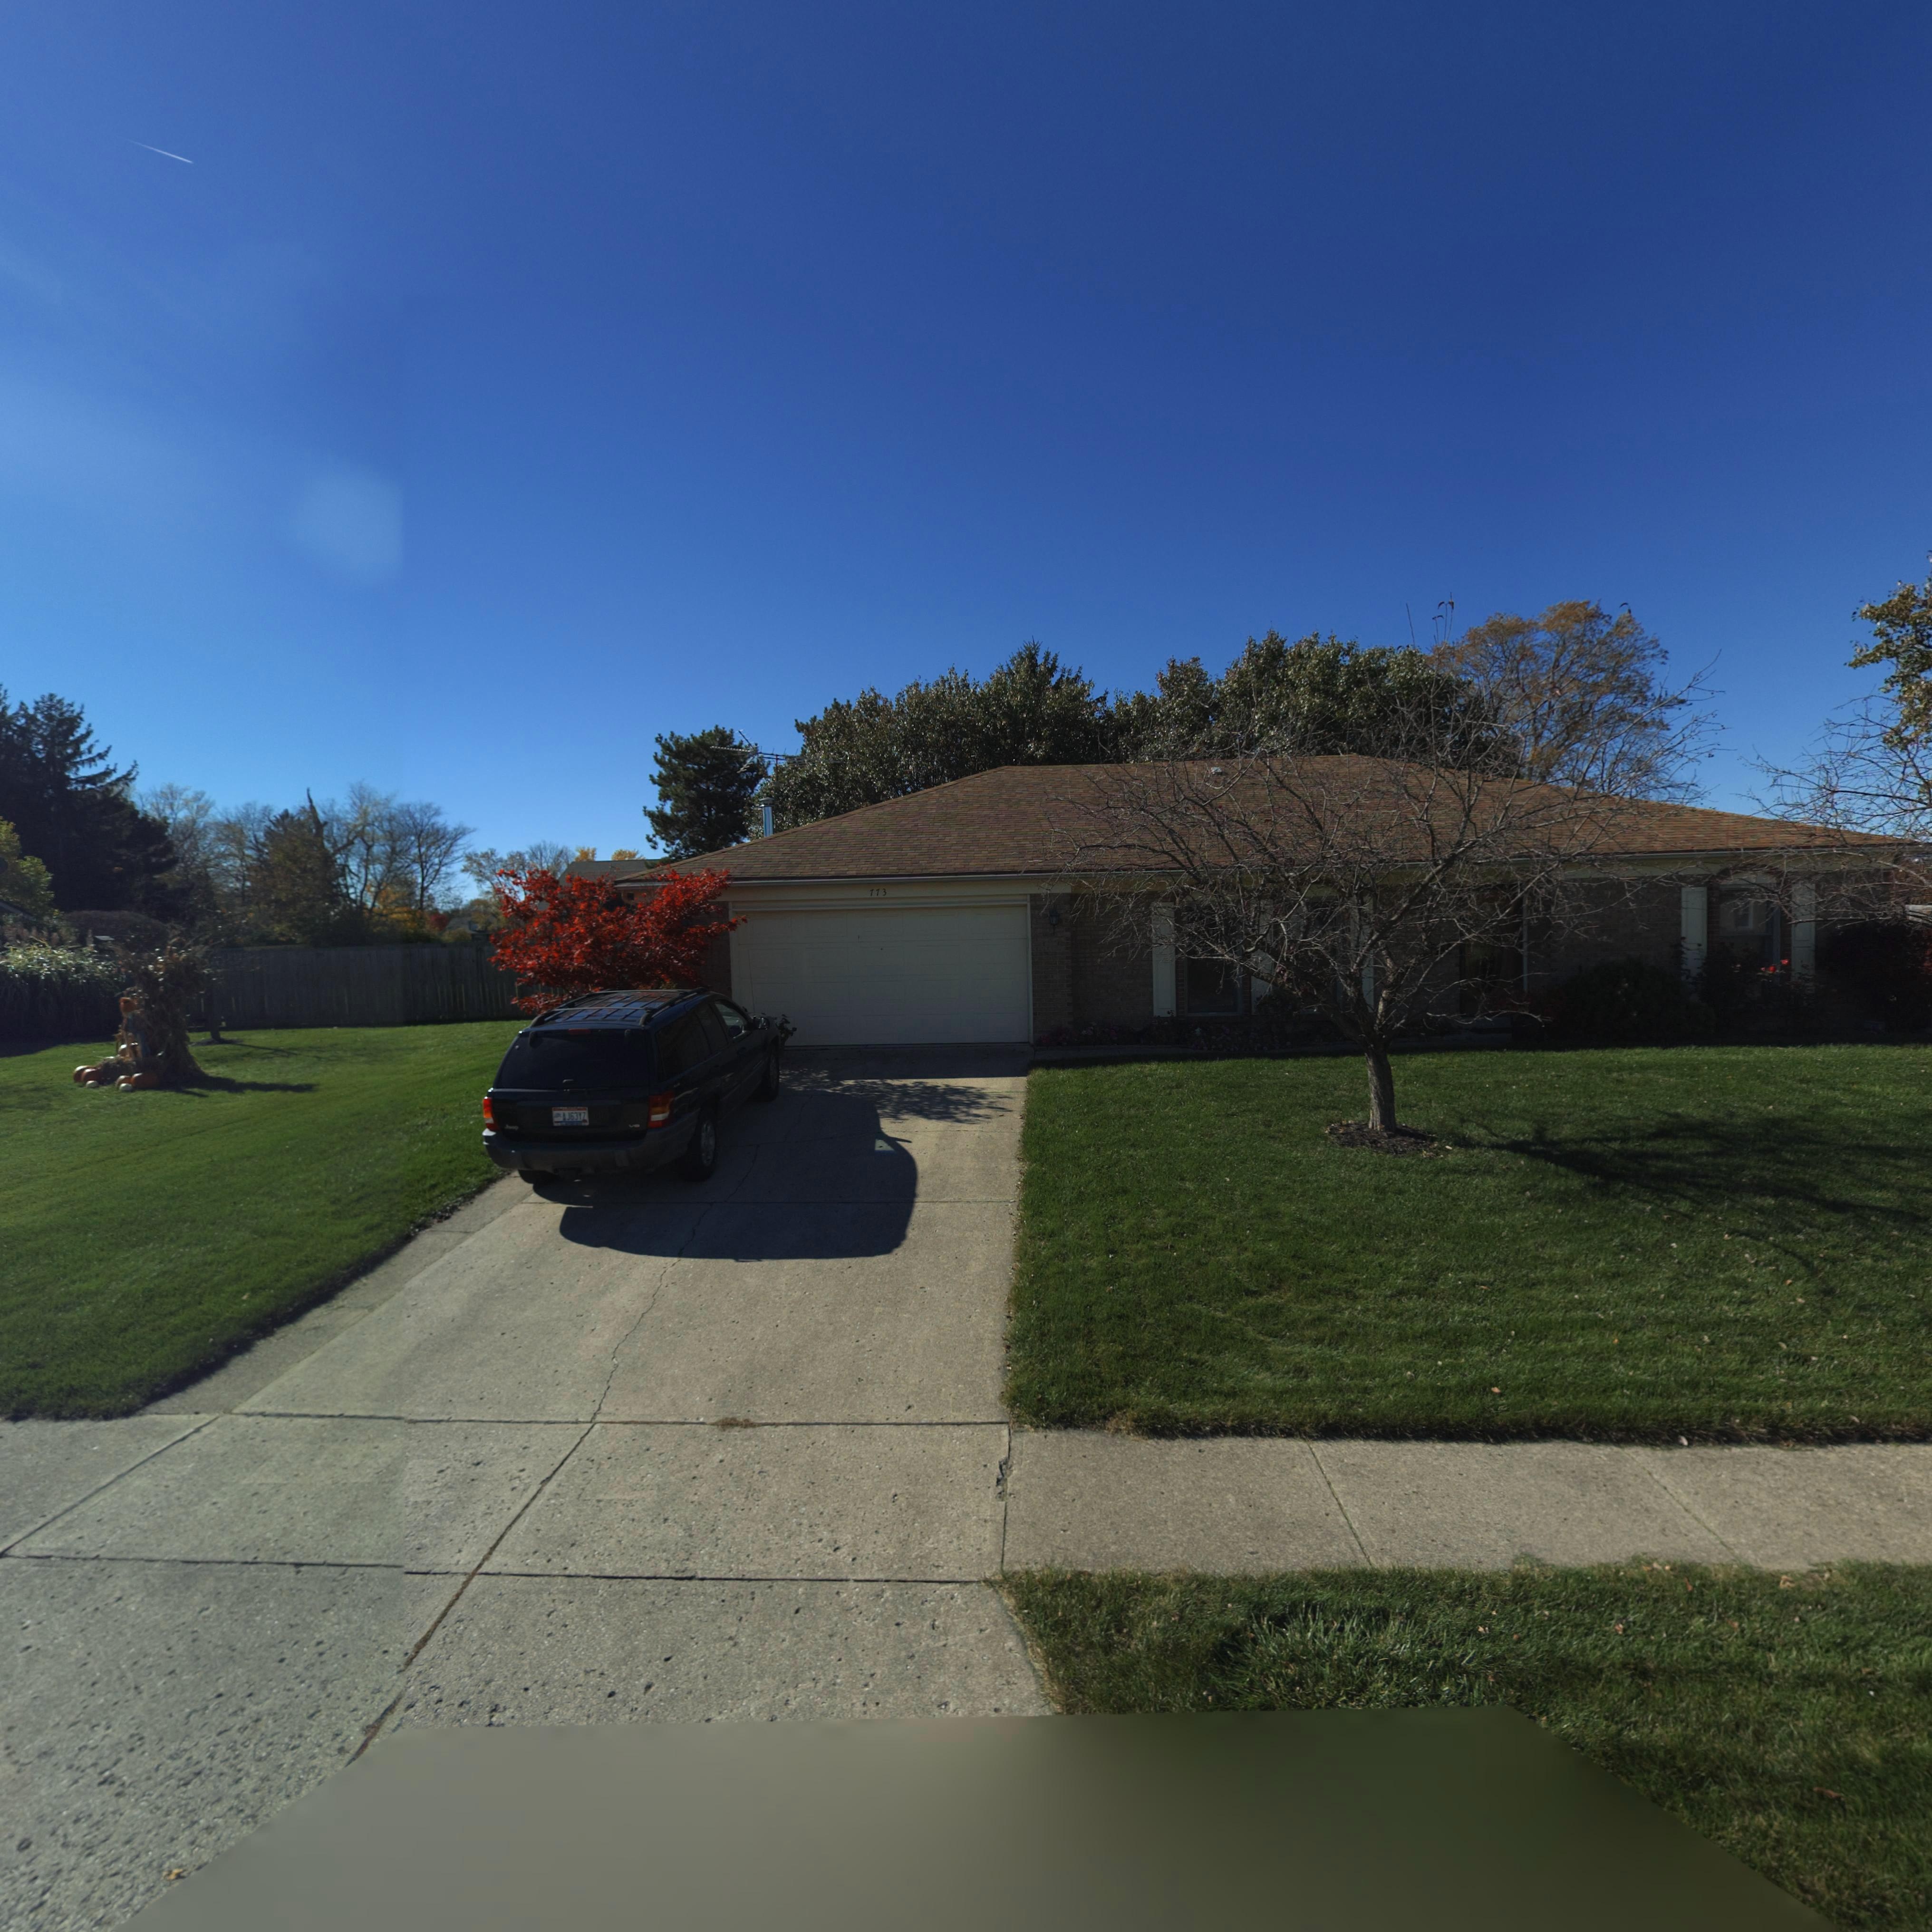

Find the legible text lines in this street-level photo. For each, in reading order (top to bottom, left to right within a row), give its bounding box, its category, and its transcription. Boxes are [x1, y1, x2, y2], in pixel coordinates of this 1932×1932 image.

[869, 888, 887, 897] StreetNumber: 773